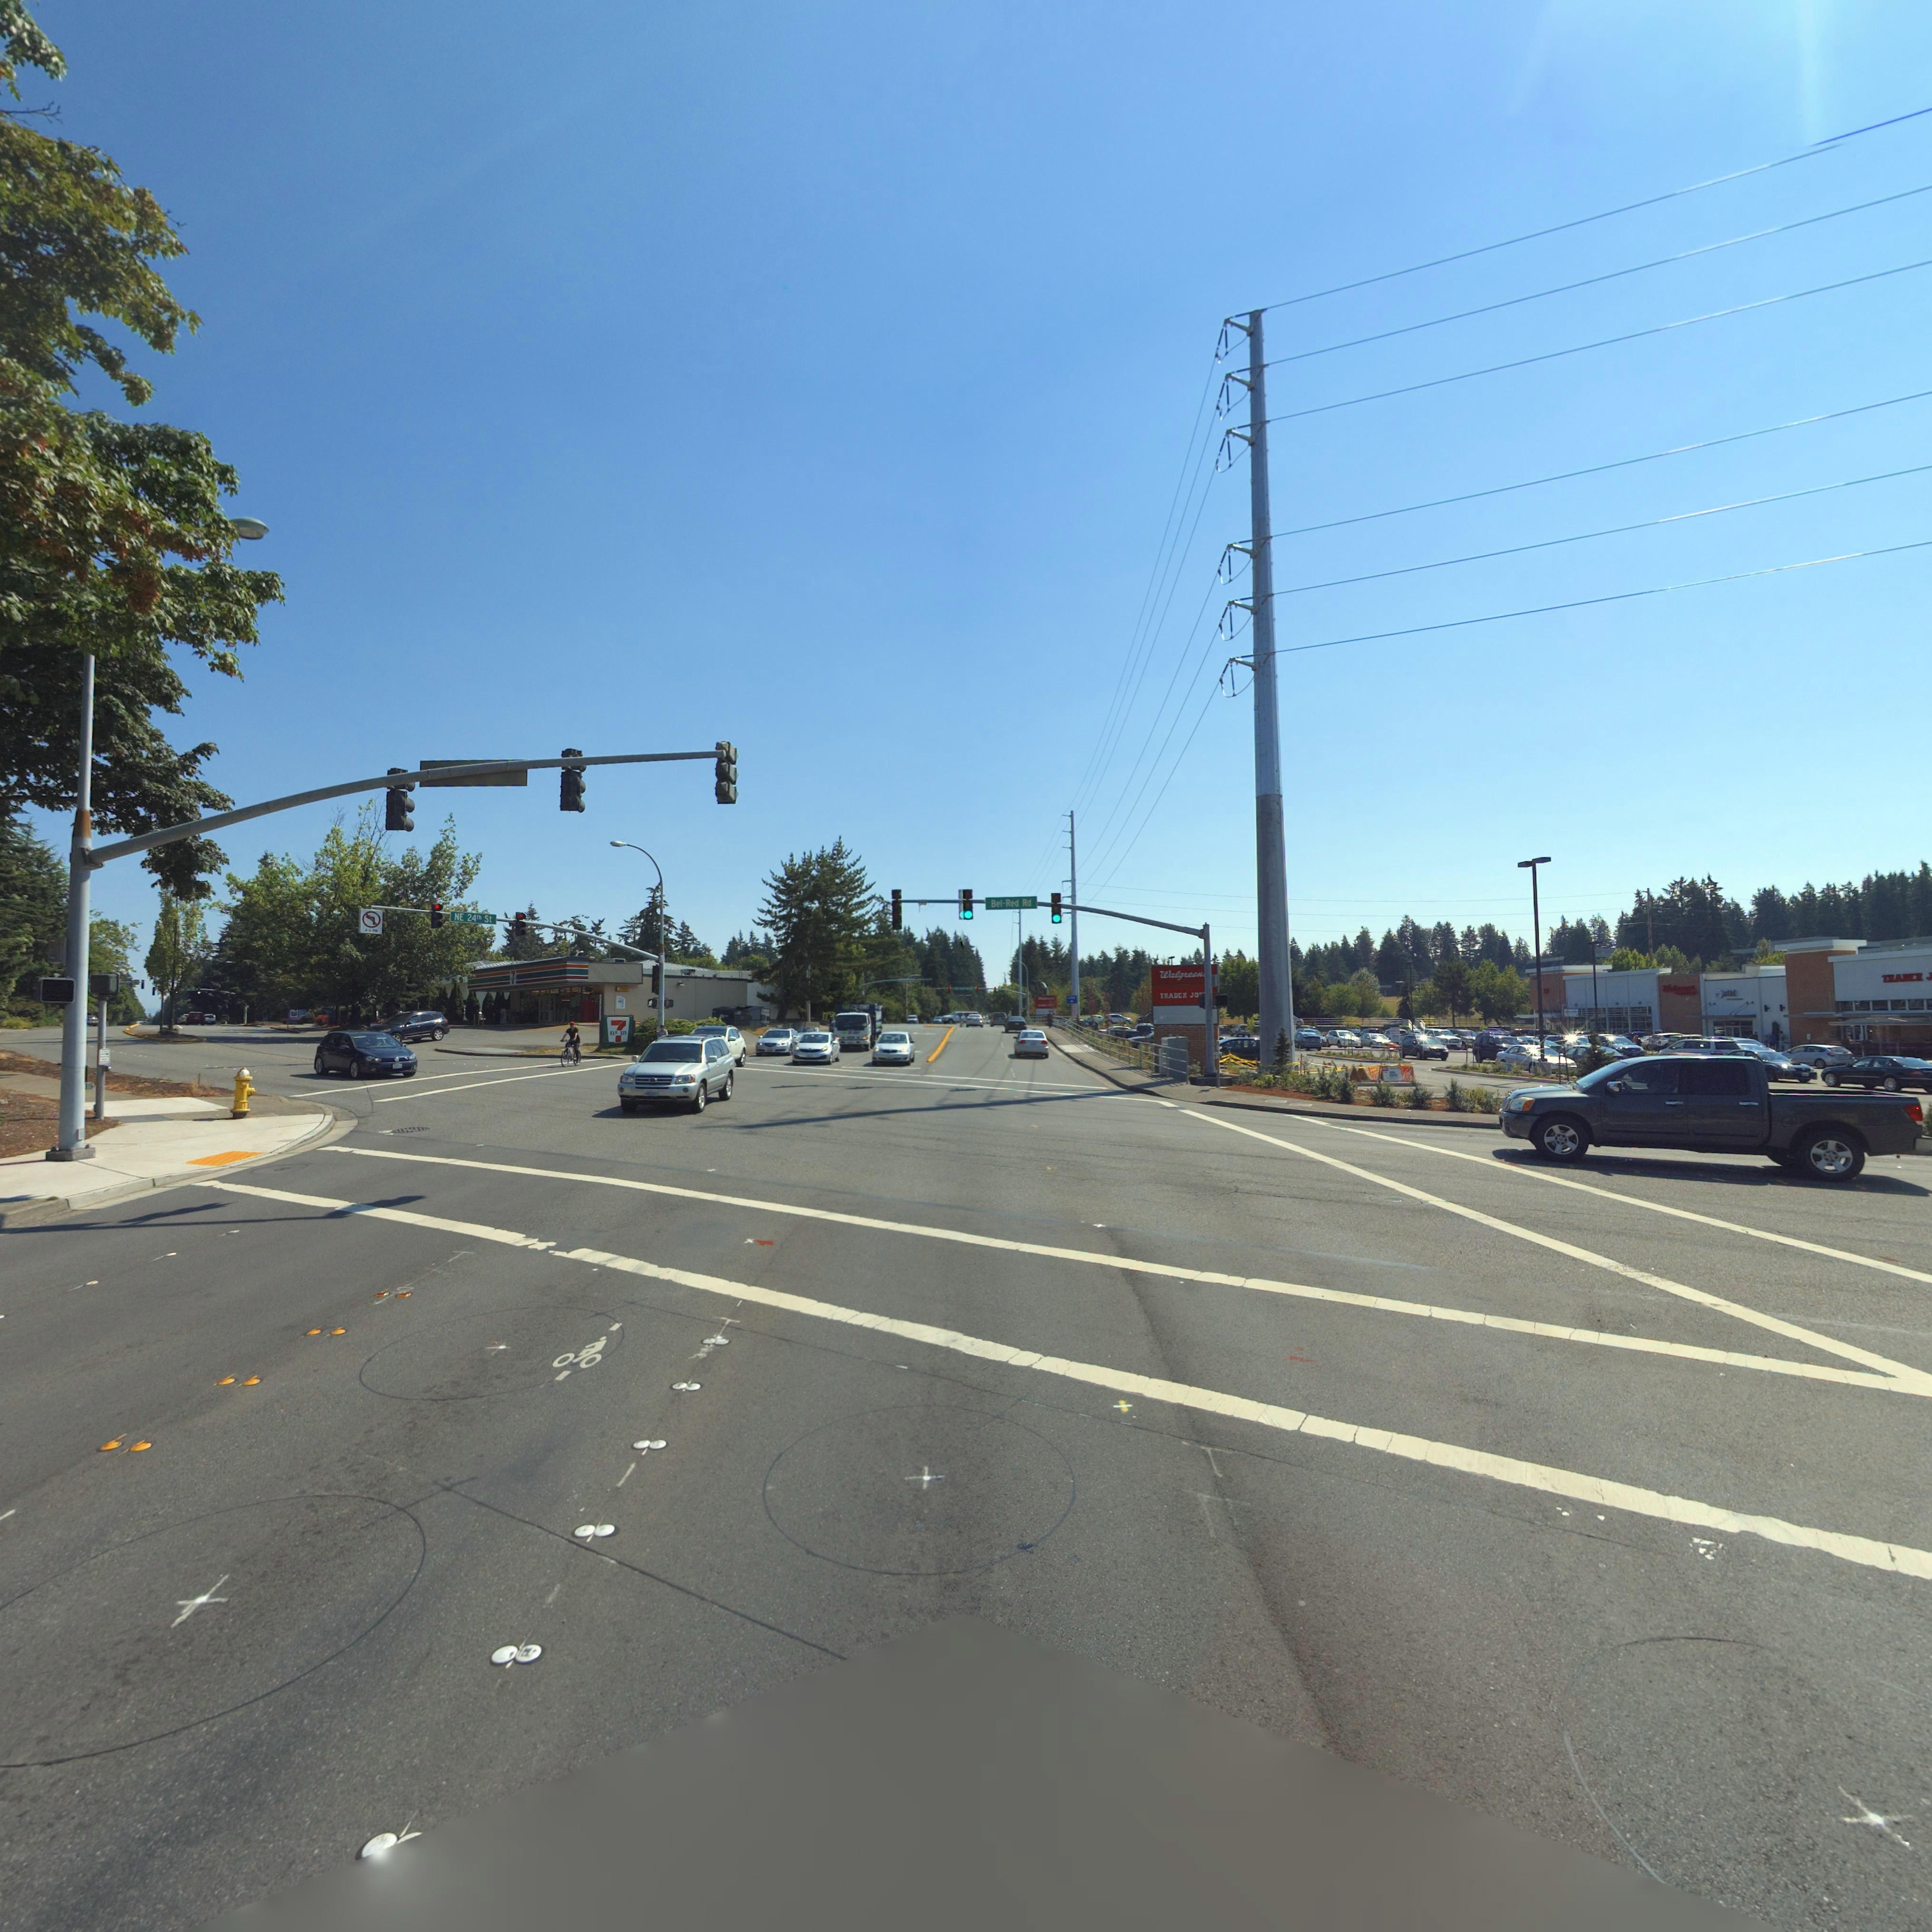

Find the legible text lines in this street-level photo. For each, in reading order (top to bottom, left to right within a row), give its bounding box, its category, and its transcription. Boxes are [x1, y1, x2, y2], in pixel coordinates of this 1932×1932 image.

[991, 898, 1032, 908] StreetName: Bel-Red Rd
[454, 913, 492, 923] StreetName: NE 24th St
[1159, 969, 1203, 981] BusinessName: Walgreen*
[1159, 992, 1199, 999] BusinessName: TRADER JO**